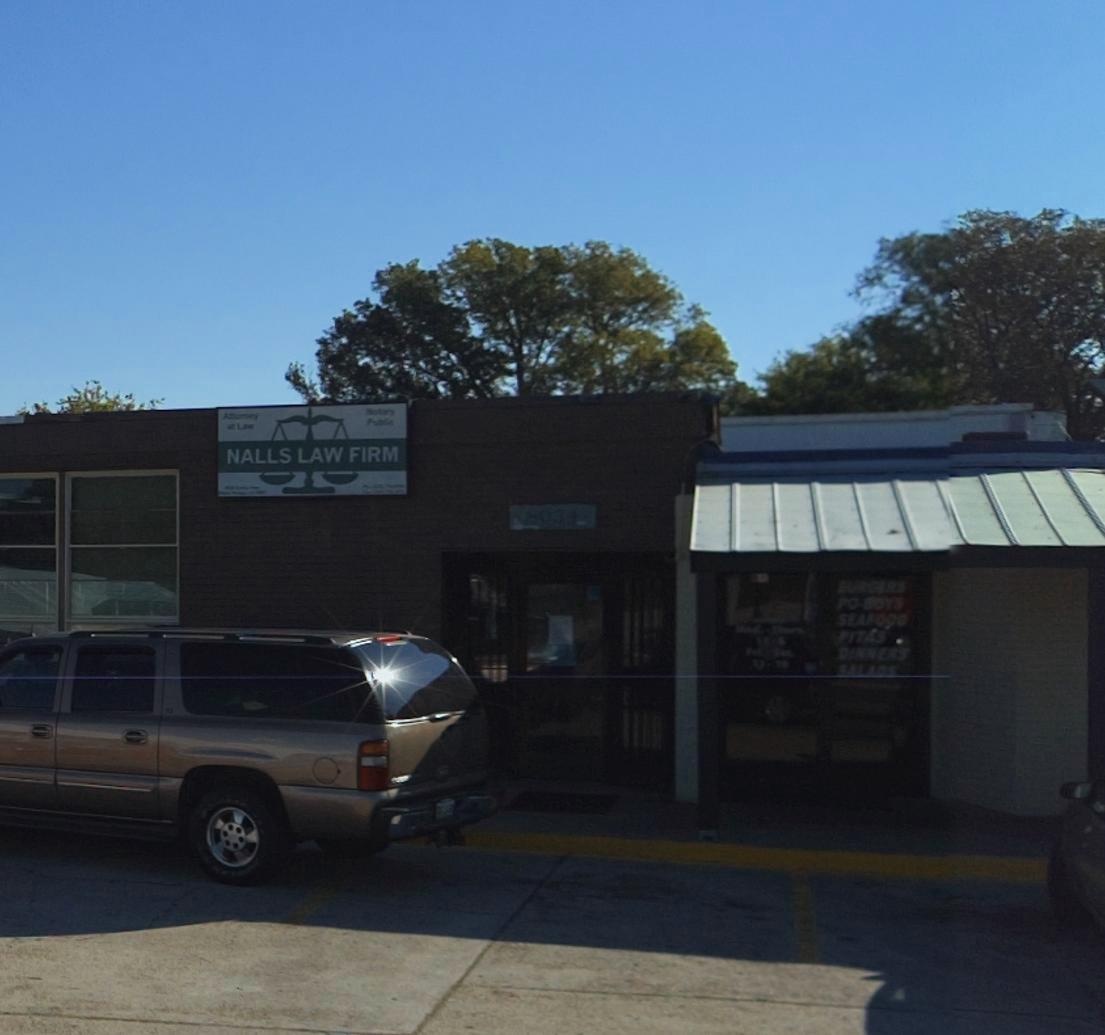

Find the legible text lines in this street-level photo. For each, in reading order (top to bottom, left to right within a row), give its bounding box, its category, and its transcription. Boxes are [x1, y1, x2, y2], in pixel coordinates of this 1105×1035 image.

[223, 420, 254, 431] None: at Law
[219, 408, 259, 421] None: Attorney
[361, 402, 396, 418] None: Notary
[362, 414, 395, 427] None: Public
[221, 443, 401, 466] BusinessName: NALLS LAW FIRM
[525, 507, 582, 527] StreetNumber: 8034
[834, 576, 910, 597] None: BURGERS
[833, 594, 905, 612] None: PO POYS
[835, 611, 911, 630] None: SEAFOOD
[835, 627, 889, 648] None: PITAS
[835, 645, 913, 663] None: DINNERS
[835, 661, 899, 681] None: SALADS